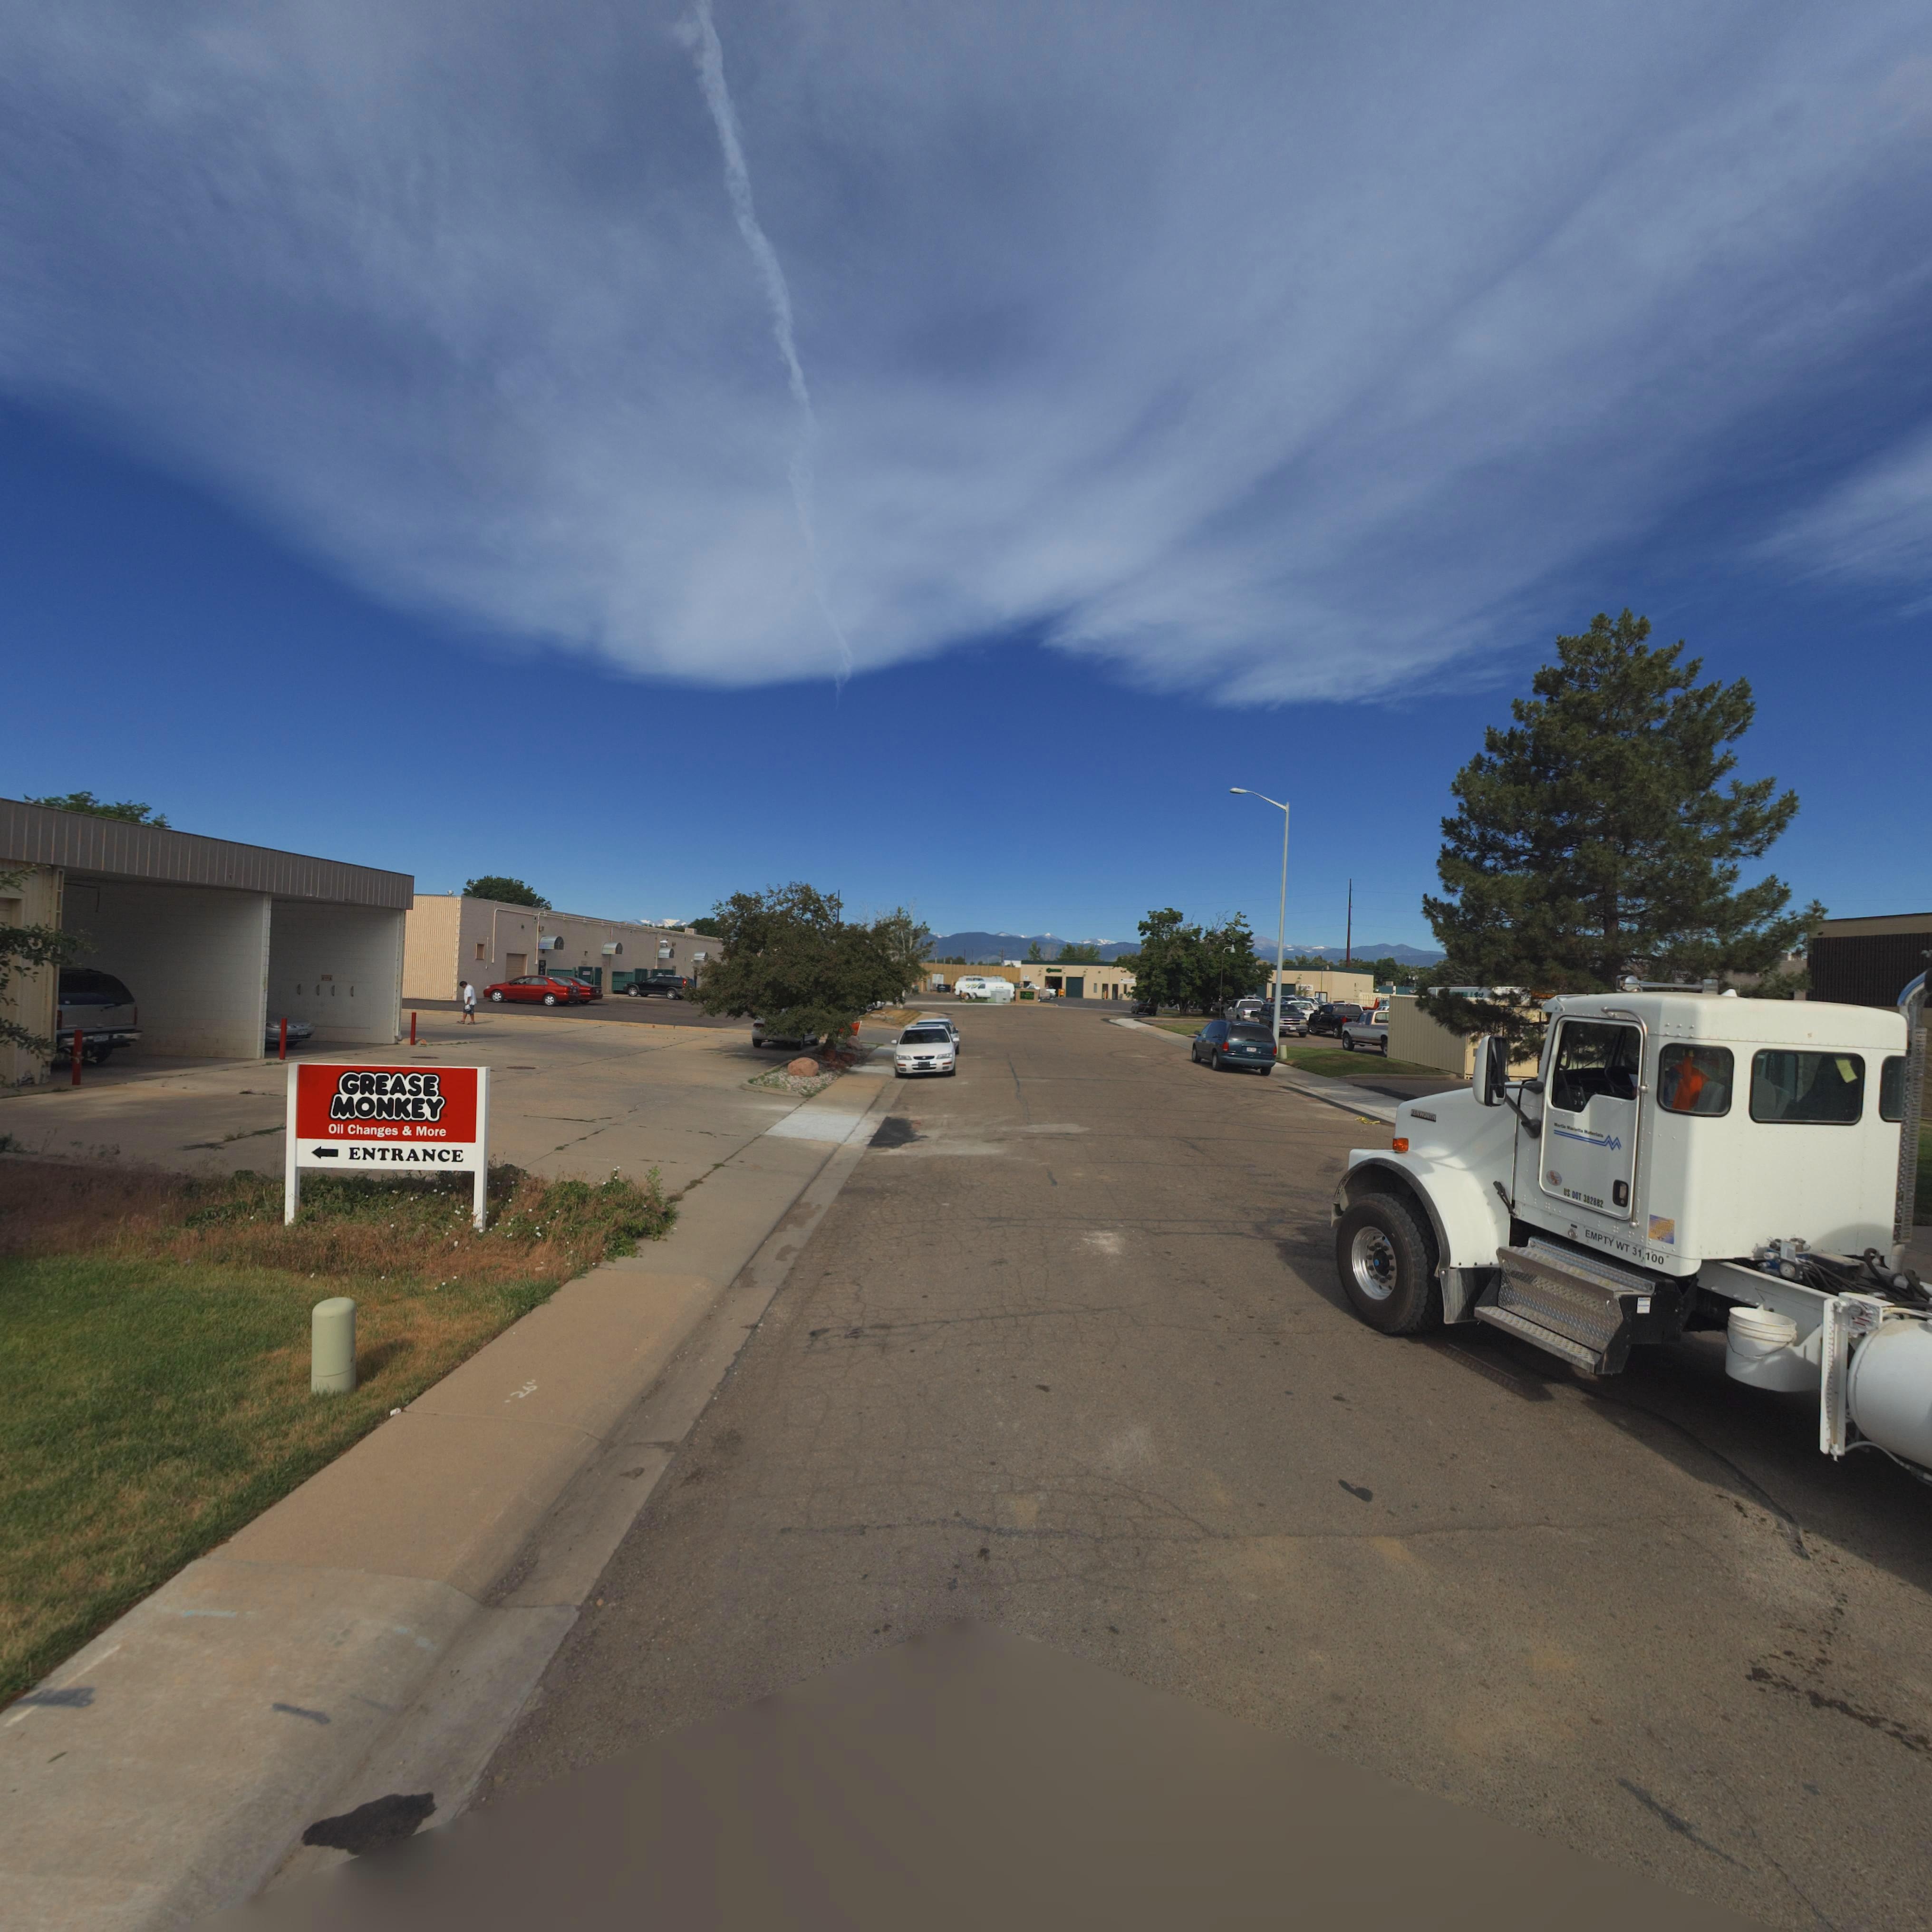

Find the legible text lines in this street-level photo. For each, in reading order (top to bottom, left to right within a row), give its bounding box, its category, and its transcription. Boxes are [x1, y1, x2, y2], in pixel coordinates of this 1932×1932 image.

[341, 1073, 437, 1096] BusinessName: GREASE
[332, 1096, 443, 1119] BusinessName: MONKEY